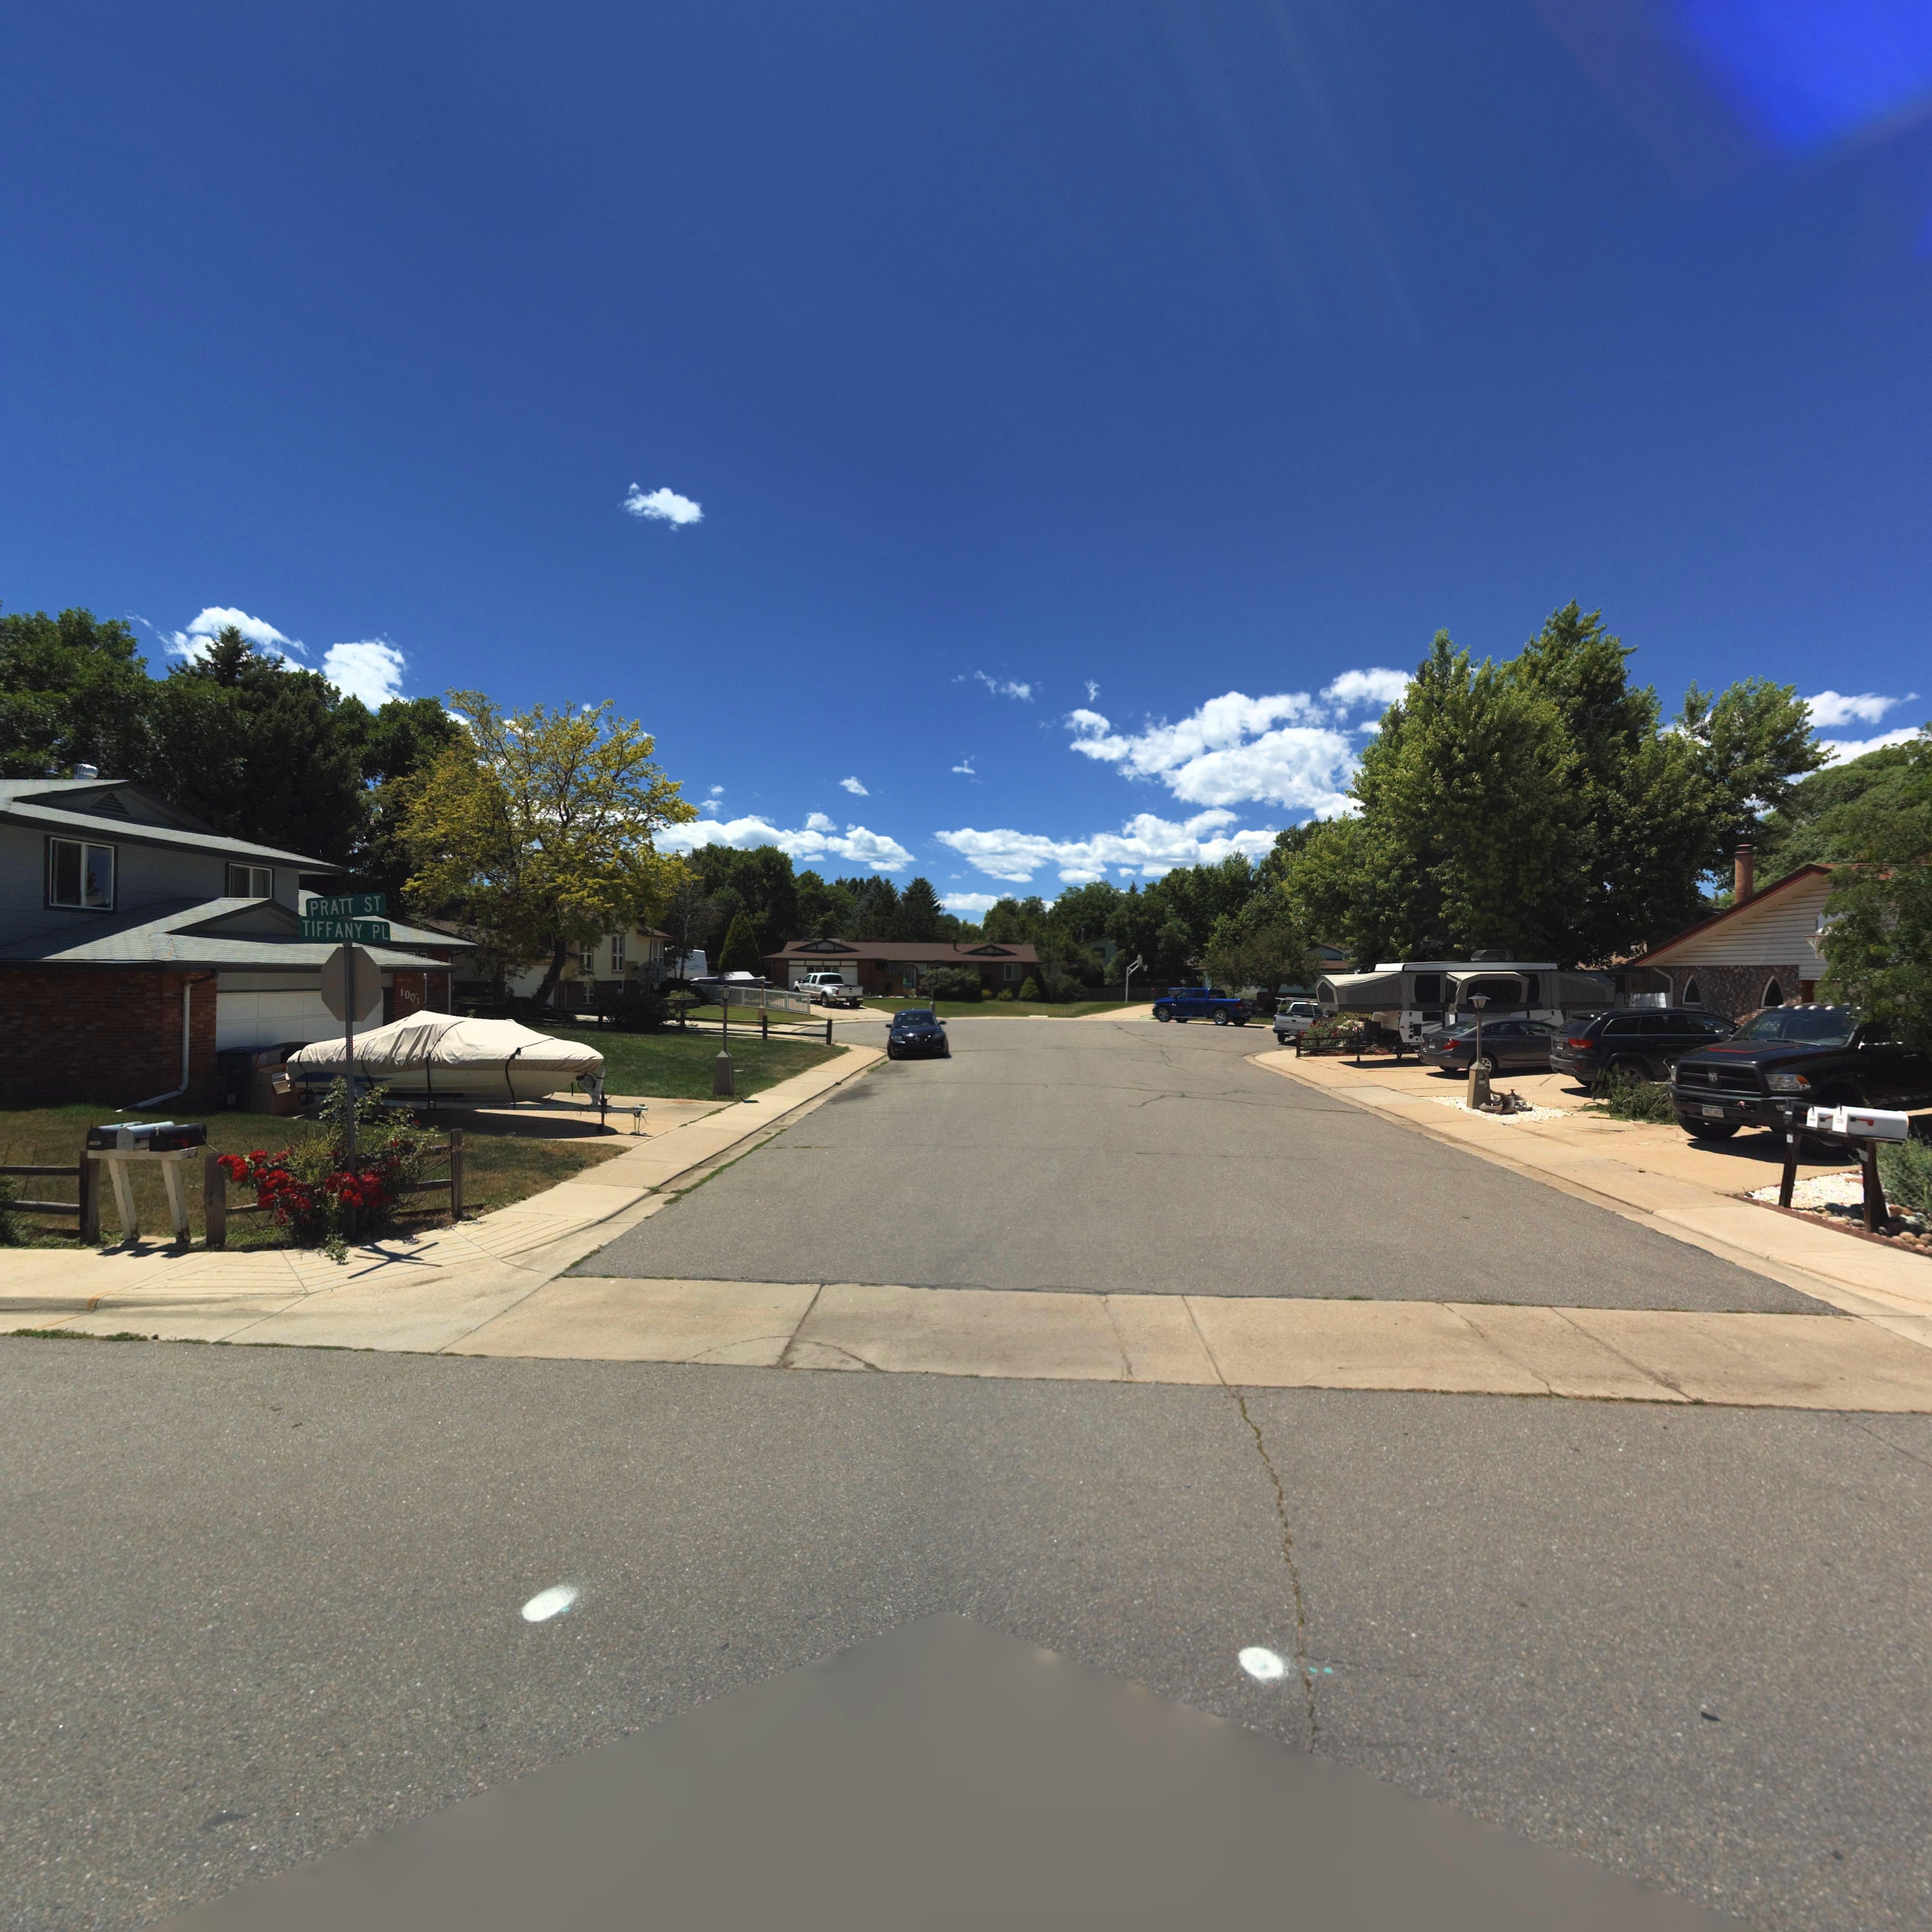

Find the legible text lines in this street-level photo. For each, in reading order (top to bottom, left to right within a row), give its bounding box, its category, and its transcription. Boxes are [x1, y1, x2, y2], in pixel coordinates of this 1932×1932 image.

[309, 895, 380, 917] StreetName: PRATT ST
[301, 919, 389, 940] StreetName: TIFFANY PL
[400, 987, 419, 1005] StreetNumber: 1001